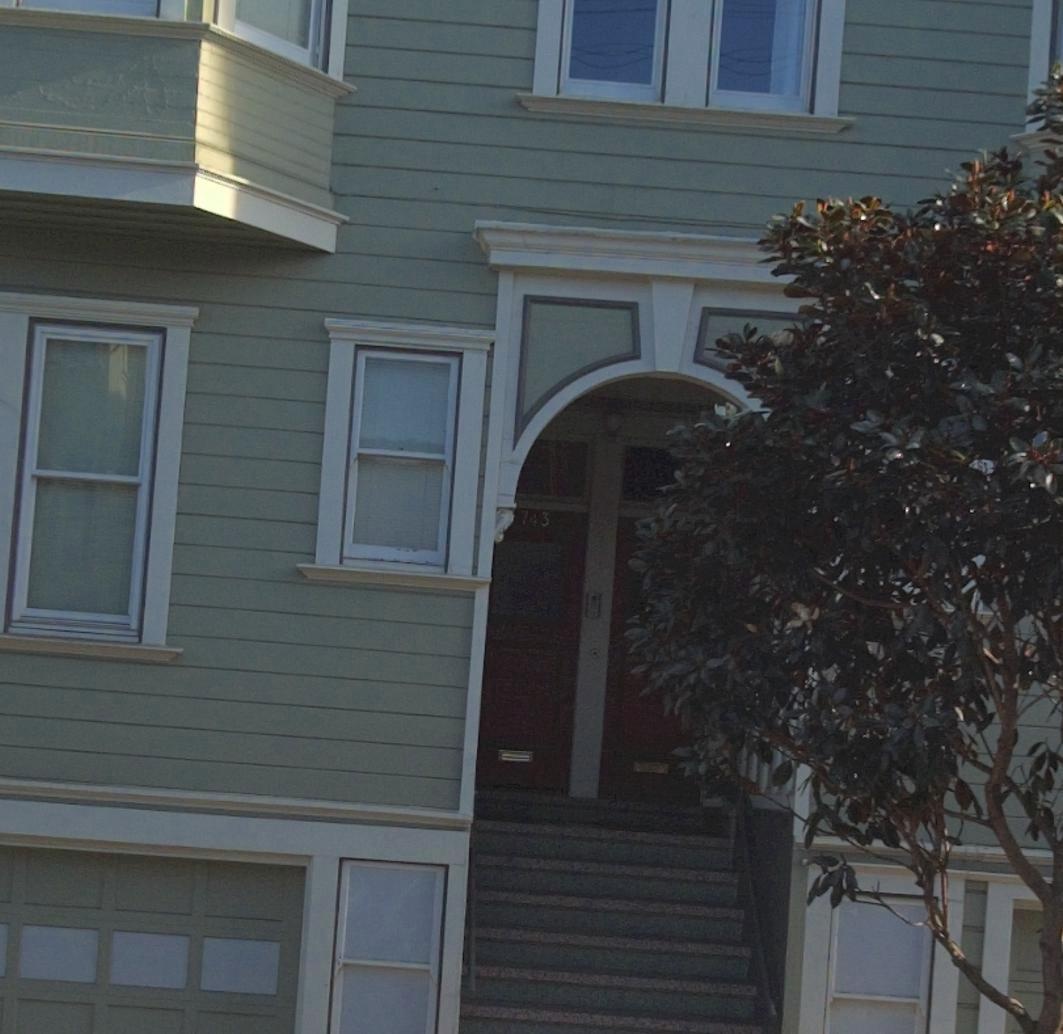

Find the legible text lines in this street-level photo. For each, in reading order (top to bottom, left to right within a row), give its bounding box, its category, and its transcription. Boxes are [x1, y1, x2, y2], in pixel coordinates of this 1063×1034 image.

[519, 507, 551, 529] StreetNumber: 743